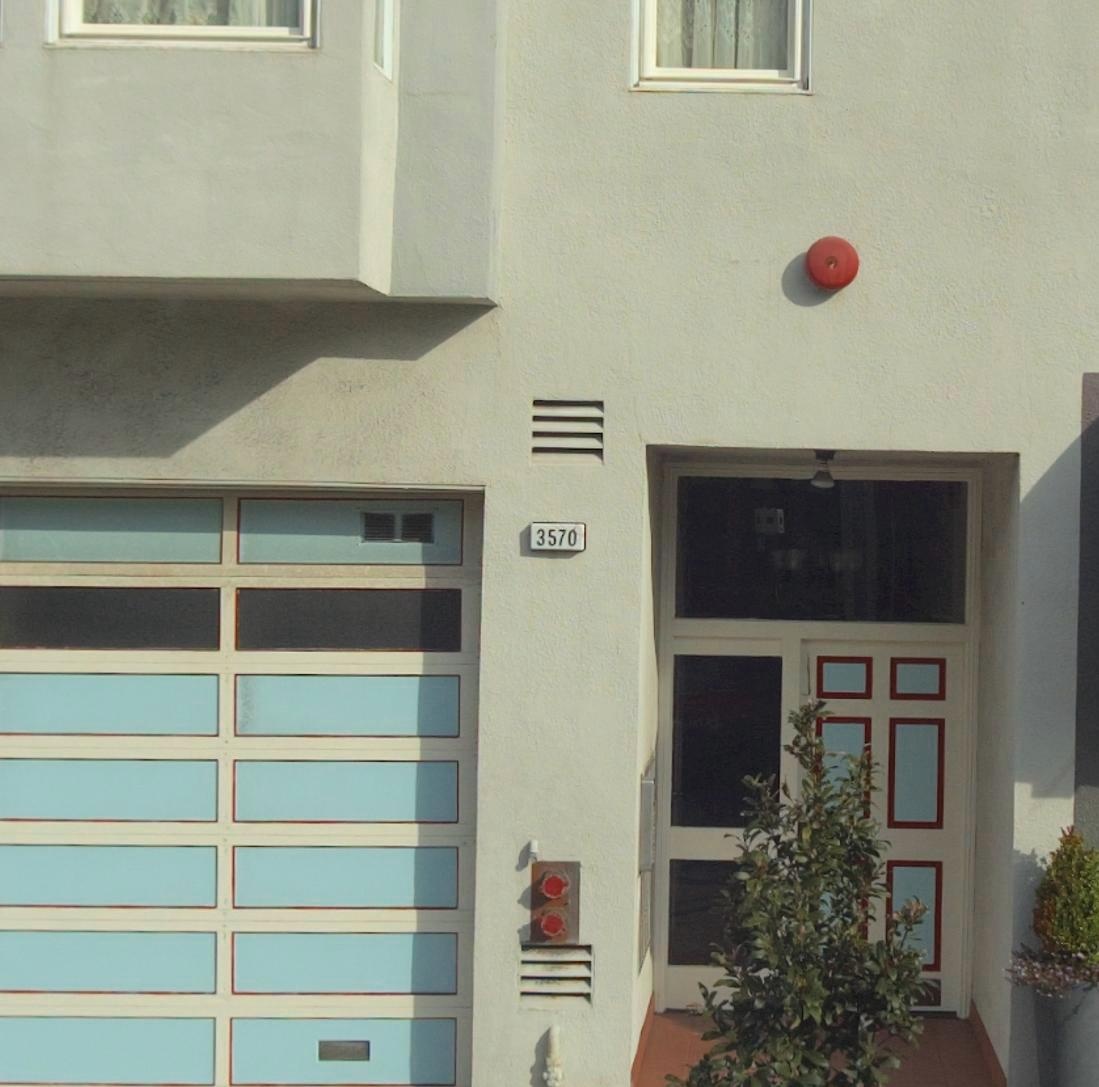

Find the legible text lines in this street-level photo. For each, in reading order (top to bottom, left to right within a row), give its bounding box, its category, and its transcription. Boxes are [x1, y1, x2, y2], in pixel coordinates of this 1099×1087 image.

[533, 526, 580, 549] StreetNumber: 3570